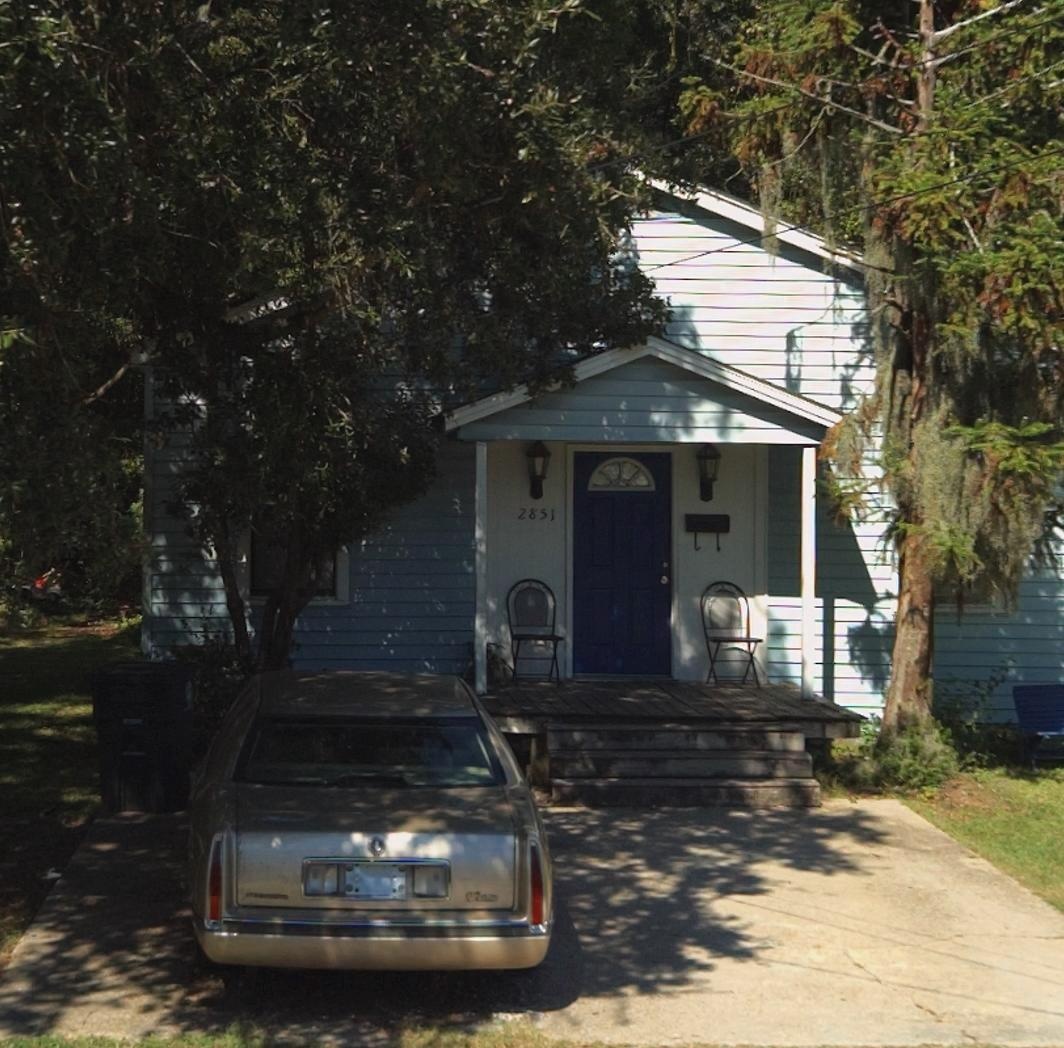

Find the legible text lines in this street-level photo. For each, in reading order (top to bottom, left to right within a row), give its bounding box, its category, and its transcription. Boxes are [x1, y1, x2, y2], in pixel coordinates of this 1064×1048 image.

[517, 506, 556, 522] StreetNumber: 2851